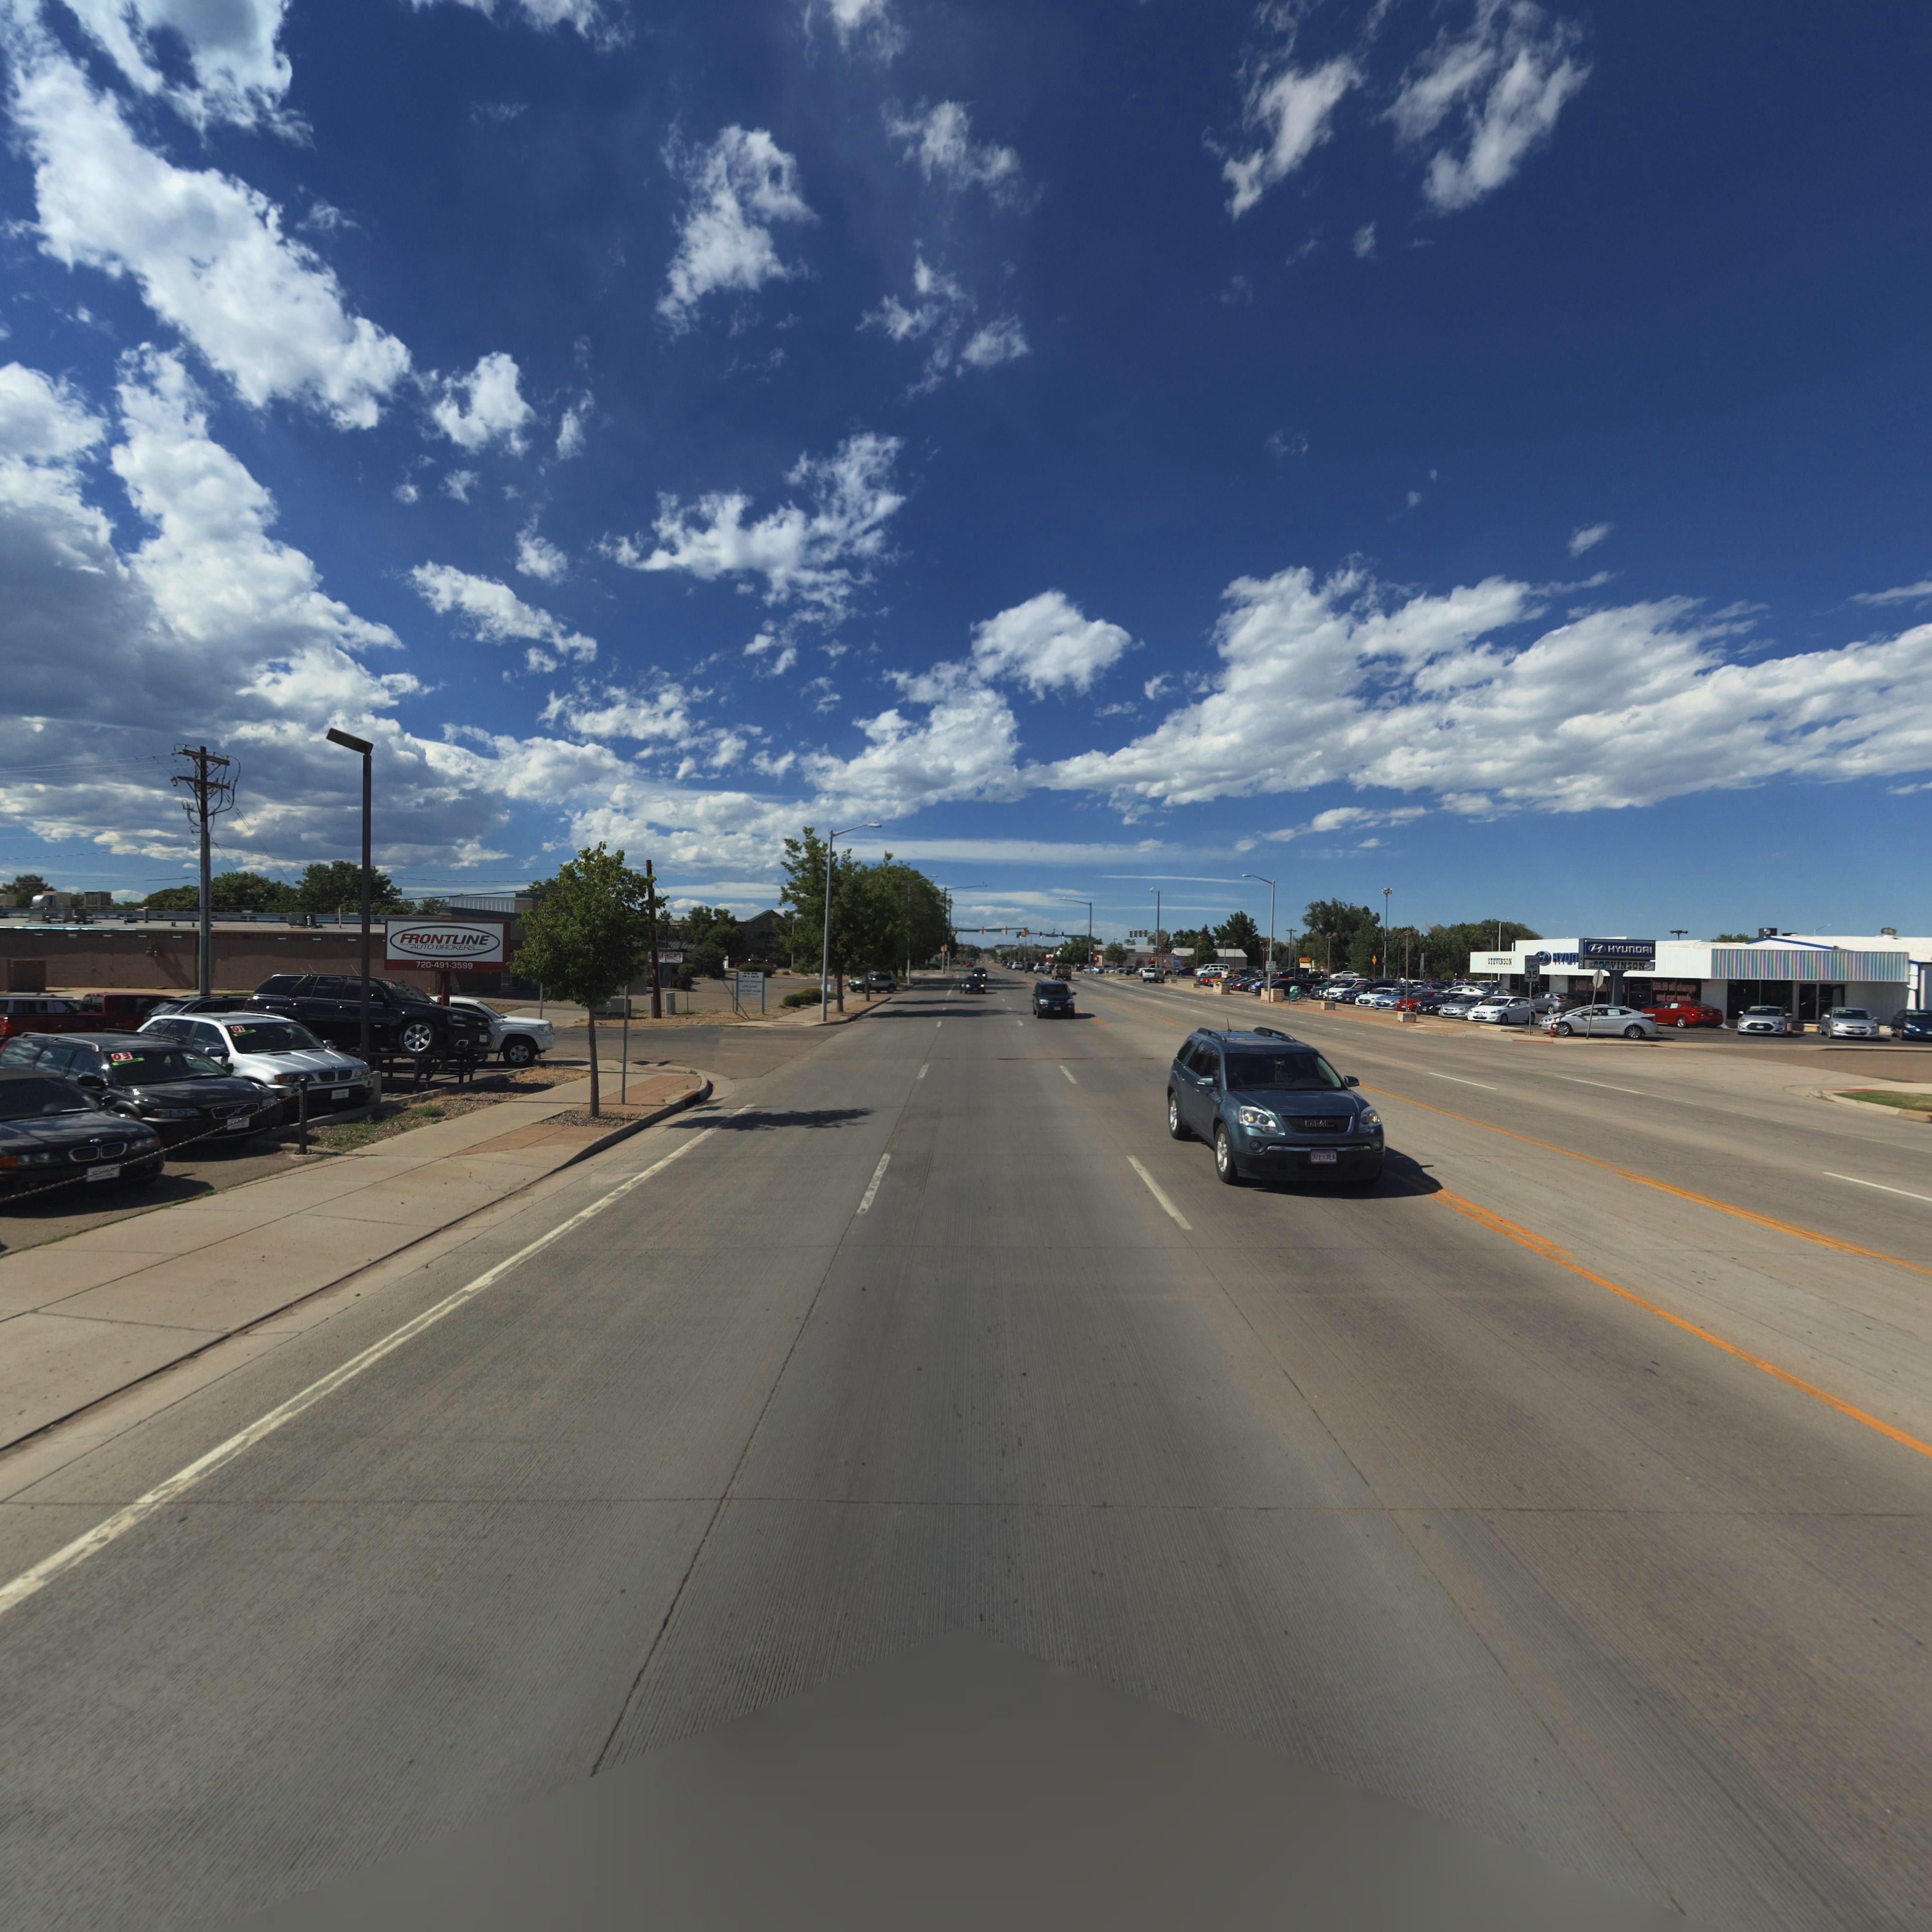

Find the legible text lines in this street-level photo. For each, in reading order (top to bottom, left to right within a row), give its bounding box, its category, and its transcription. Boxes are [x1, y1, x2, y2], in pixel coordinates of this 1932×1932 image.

[399, 933, 491, 946] BusinessName: FRONTLINE
[409, 943, 476, 951] BusinessName: AUTO BROKERS
[1607, 944, 1653, 954] BusinessName: HYUnDAI
[648, 951, 682, 959] BusinessName: ***dfella's
[1300, 958, 1310, 961] BusinessName: ZO*
[1487, 957, 1512, 965] BusinessName: STE*I*SON
[1552, 952, 1594, 962] BusinessName: HYUn***
[1587, 962, 1611, 969] StreetName: GRAND AV
[1593, 960, 1646, 970] BusinessName: ***VINSON